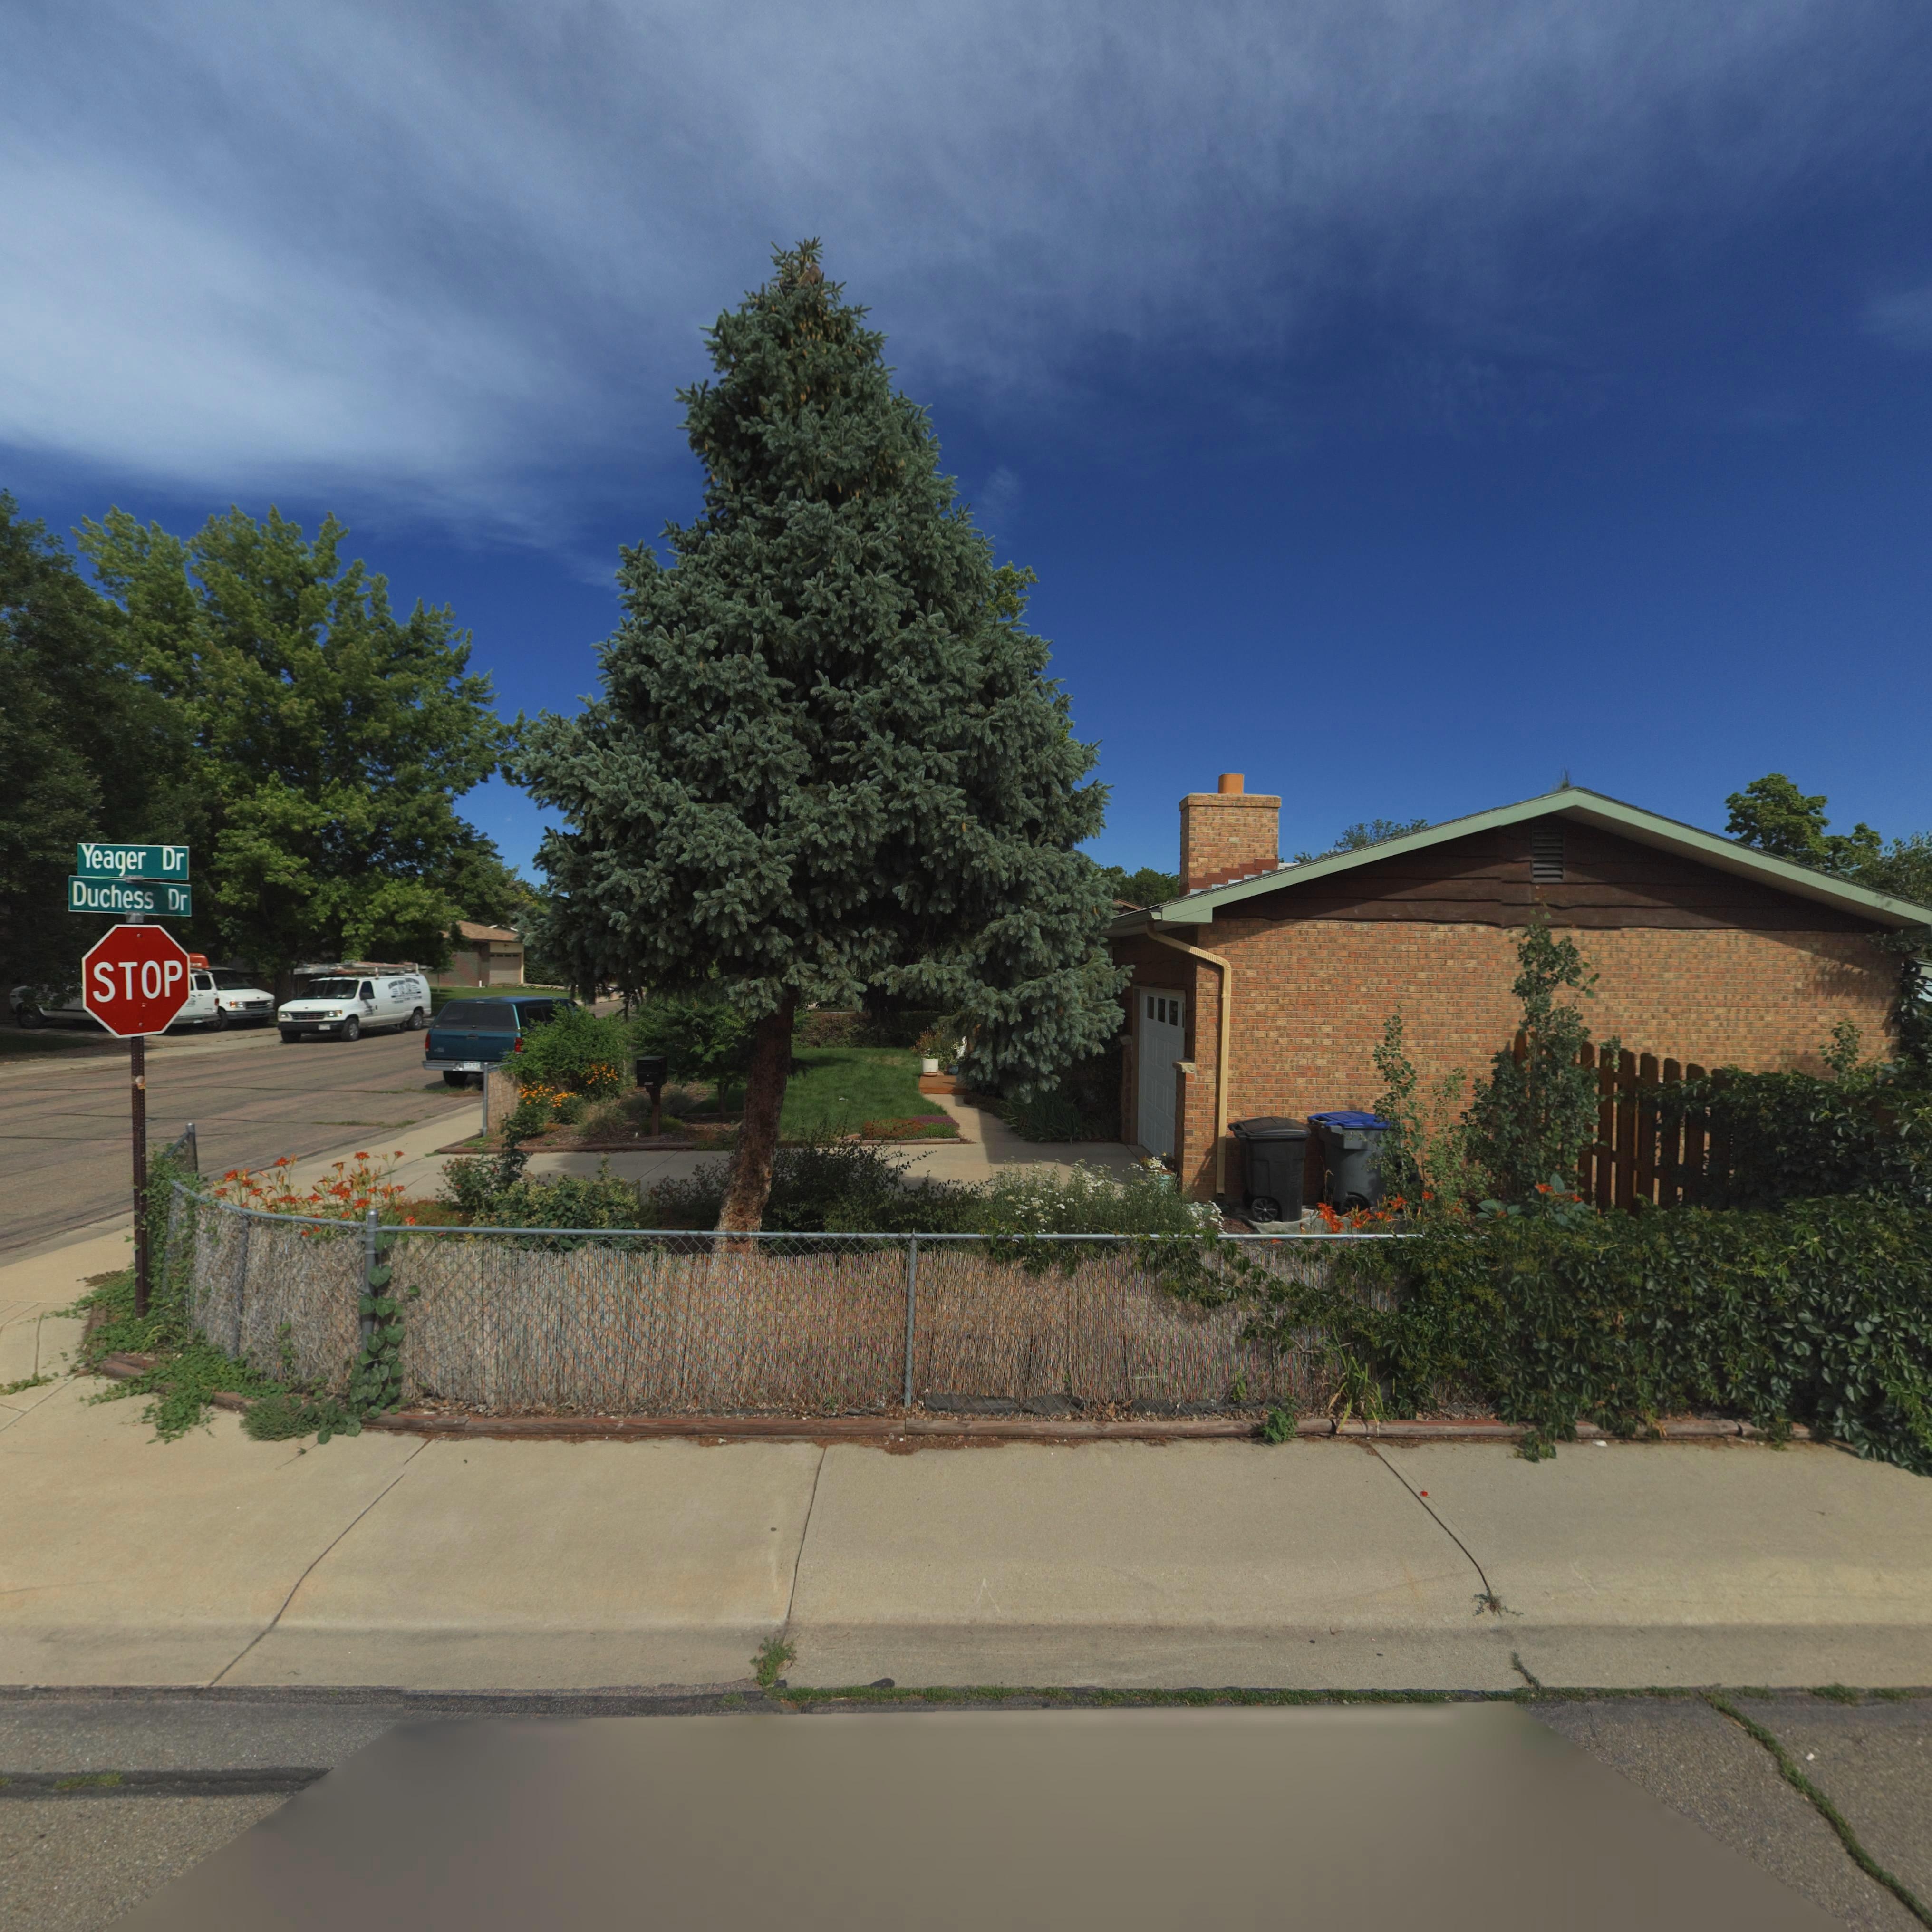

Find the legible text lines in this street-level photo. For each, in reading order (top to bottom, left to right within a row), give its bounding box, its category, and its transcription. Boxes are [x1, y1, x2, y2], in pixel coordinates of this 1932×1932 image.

[79, 843, 185, 877] StreetName: Yeager Dr
[72, 879, 188, 912] StreetName: Duchess Dr